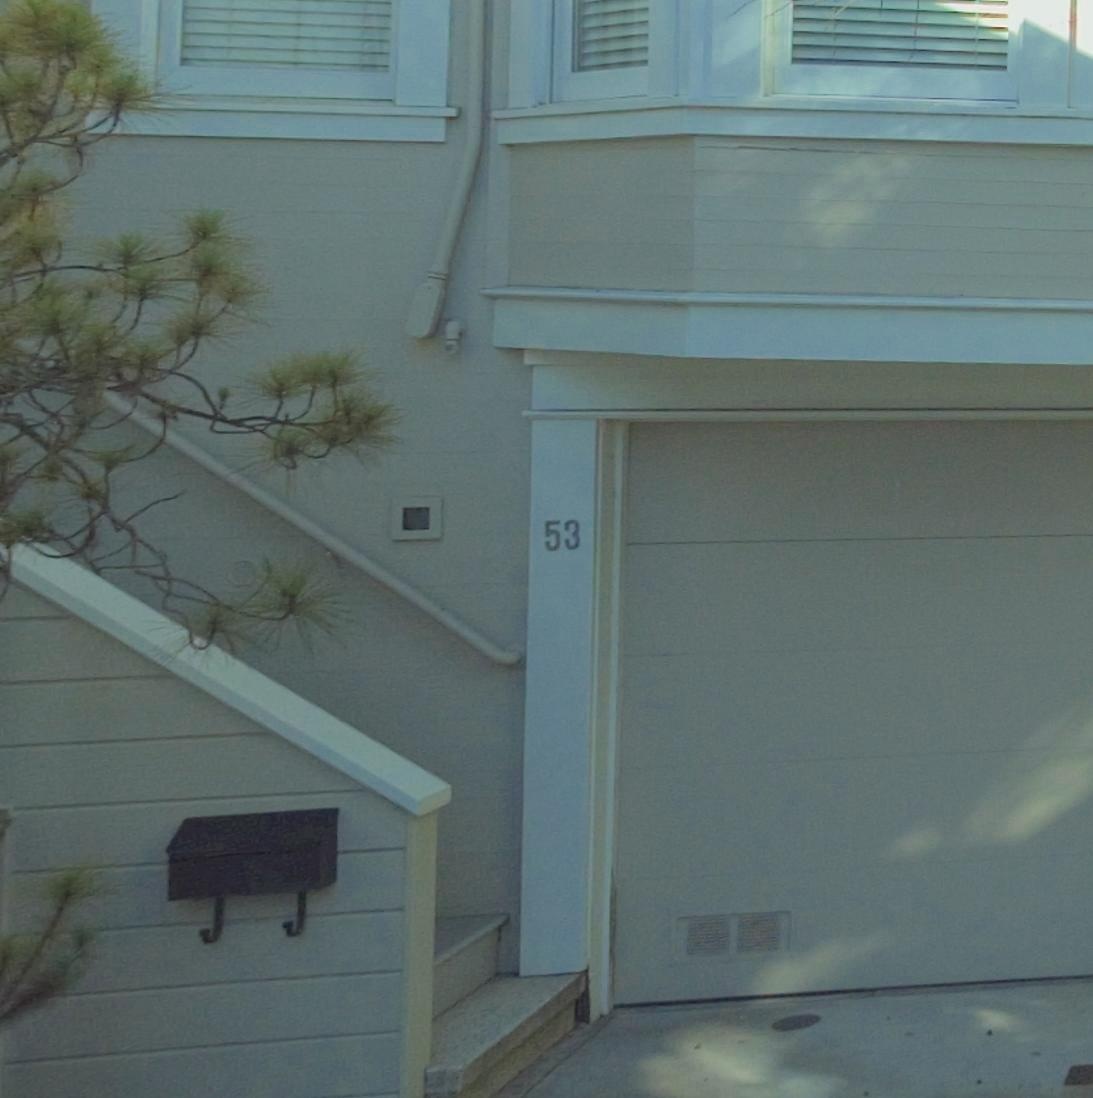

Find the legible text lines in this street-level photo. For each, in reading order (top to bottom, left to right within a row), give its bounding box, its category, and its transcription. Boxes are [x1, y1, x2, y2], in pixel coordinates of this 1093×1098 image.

[542, 517, 584, 553] StreetNumber: 53